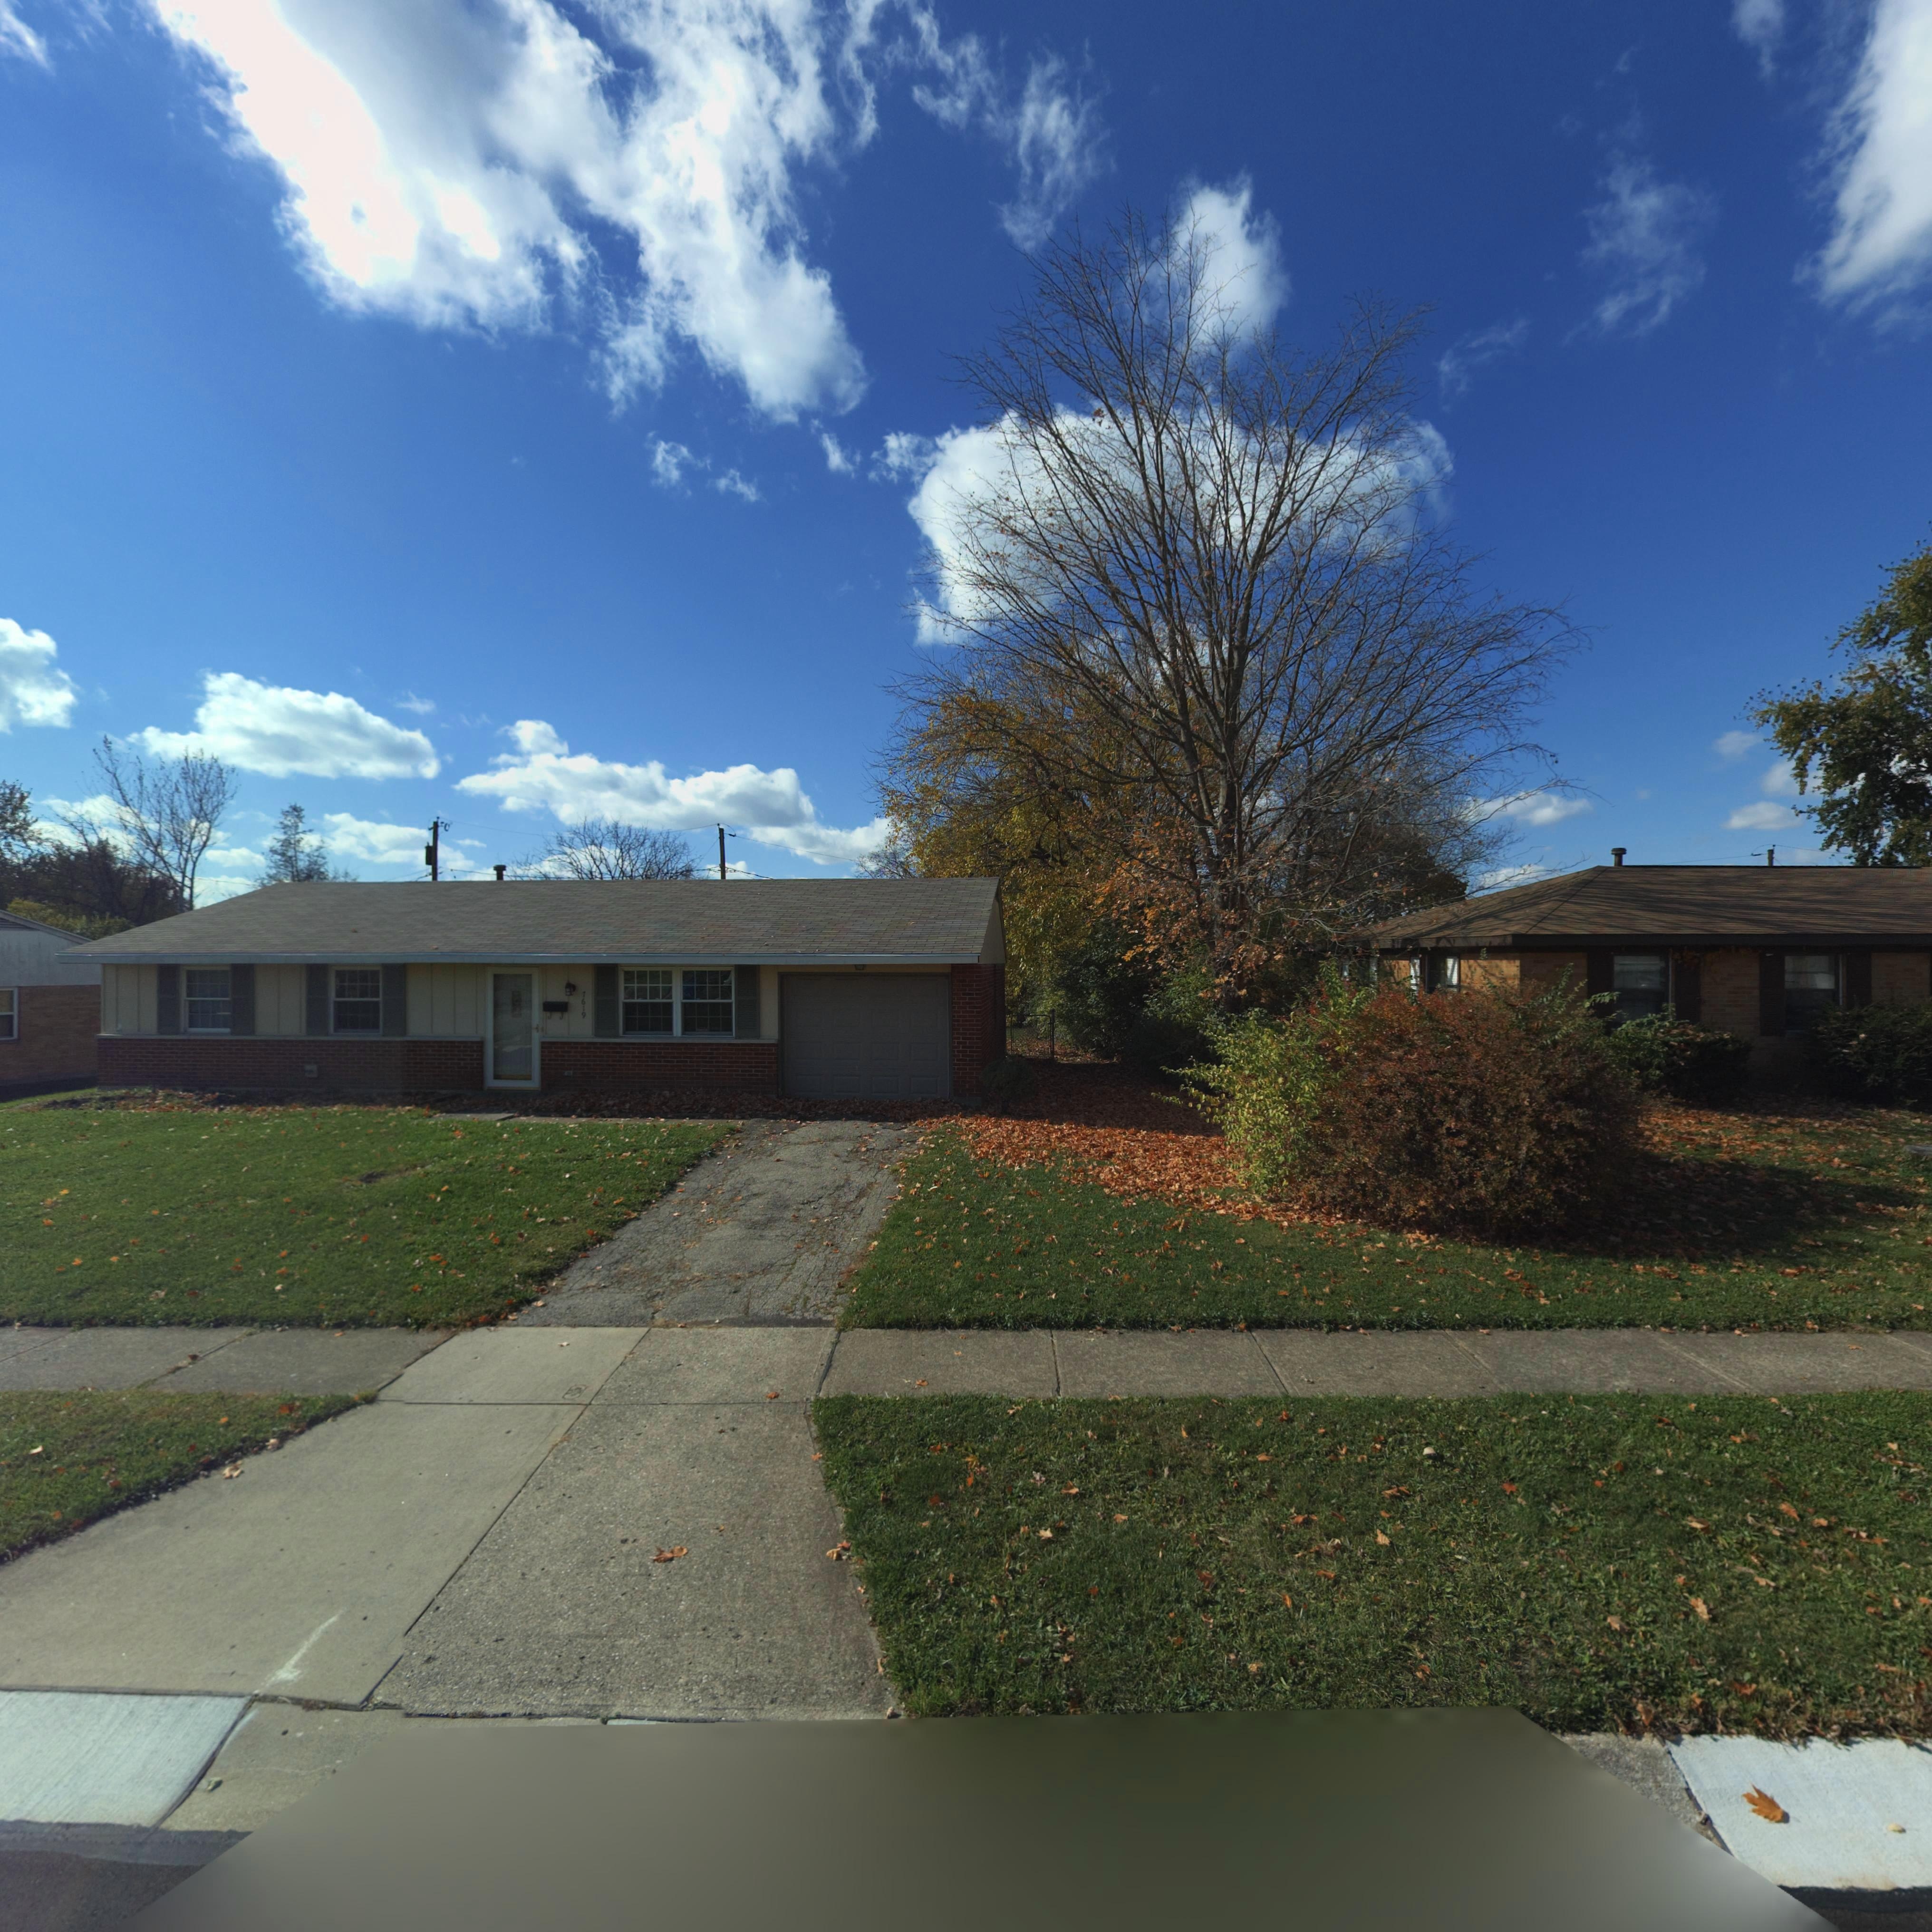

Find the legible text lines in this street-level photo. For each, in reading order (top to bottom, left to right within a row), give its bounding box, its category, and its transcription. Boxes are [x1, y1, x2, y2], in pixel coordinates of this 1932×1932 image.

[581, 990, 587, 1019] StreetNumber: 7619